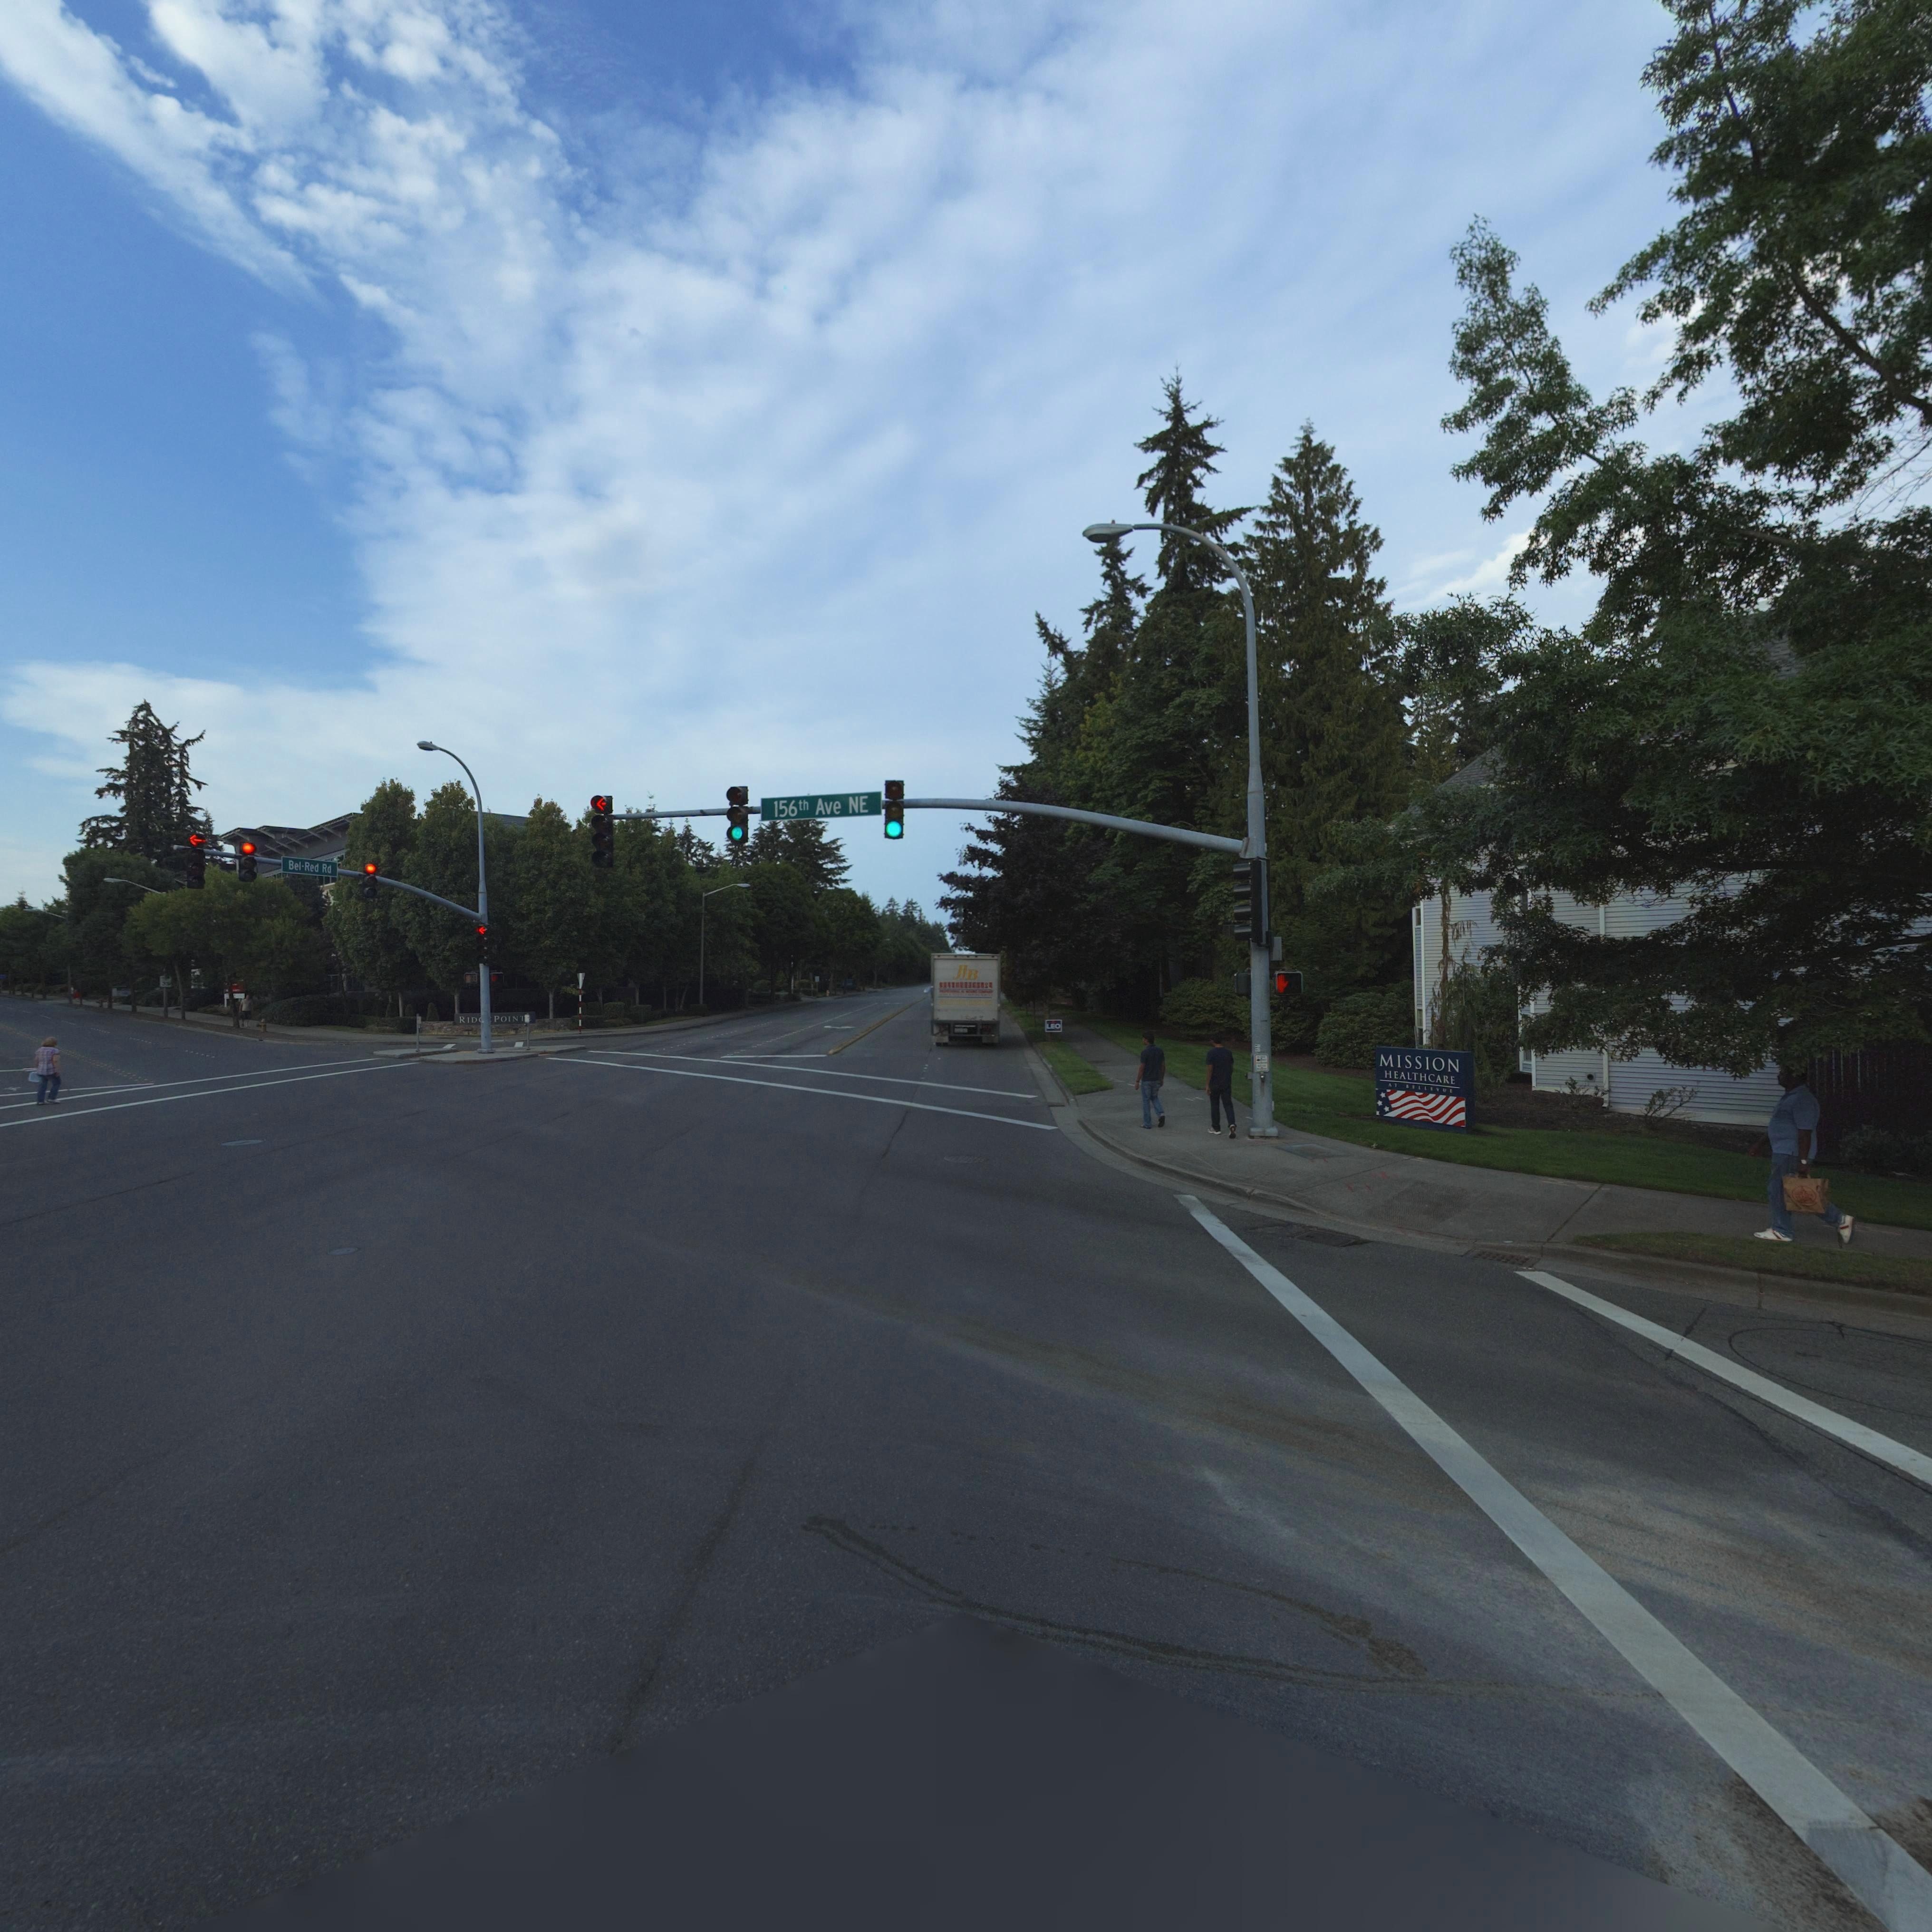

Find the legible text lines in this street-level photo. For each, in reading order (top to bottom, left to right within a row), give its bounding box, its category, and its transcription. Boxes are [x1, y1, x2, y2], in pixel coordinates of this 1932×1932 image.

[773, 796, 869, 818] None: 156** Ave NE
[288, 860, 331, 874] BusinessName: Bel*Red Rd
[458, 1016, 492, 1024] None: RIDG*
[494, 1015, 531, 1022] BusinessName: POINT*
[1380, 1054, 1461, 1072] BusinessName: MISSION
[1385, 1070, 1455, 1084] BusinessName: HEALTHCARE
[1386, 1081, 1456, 1095] BusinessName: AT BELLEVUE